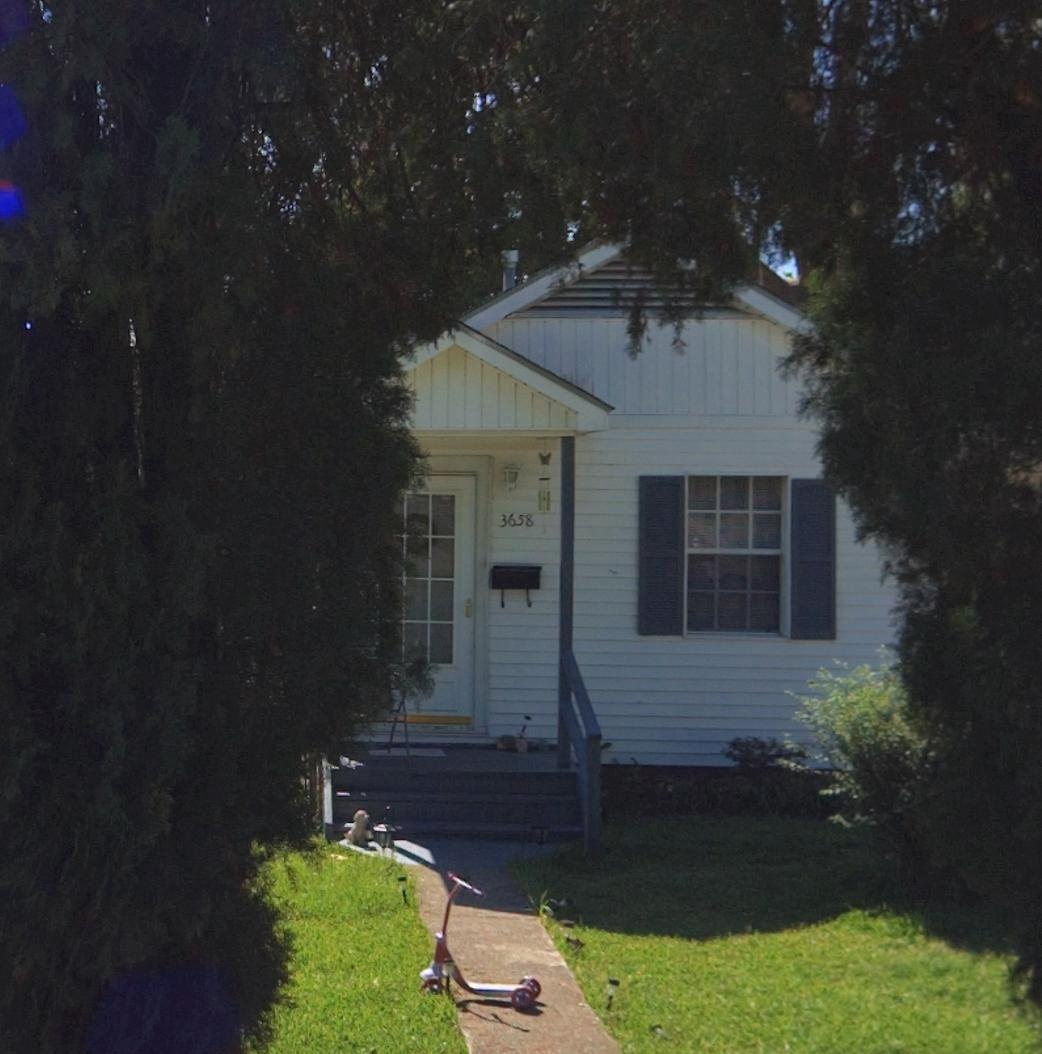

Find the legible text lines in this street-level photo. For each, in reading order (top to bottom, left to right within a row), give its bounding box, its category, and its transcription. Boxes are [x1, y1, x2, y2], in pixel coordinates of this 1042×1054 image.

[499, 512, 535, 528] StreetNumber: 3658